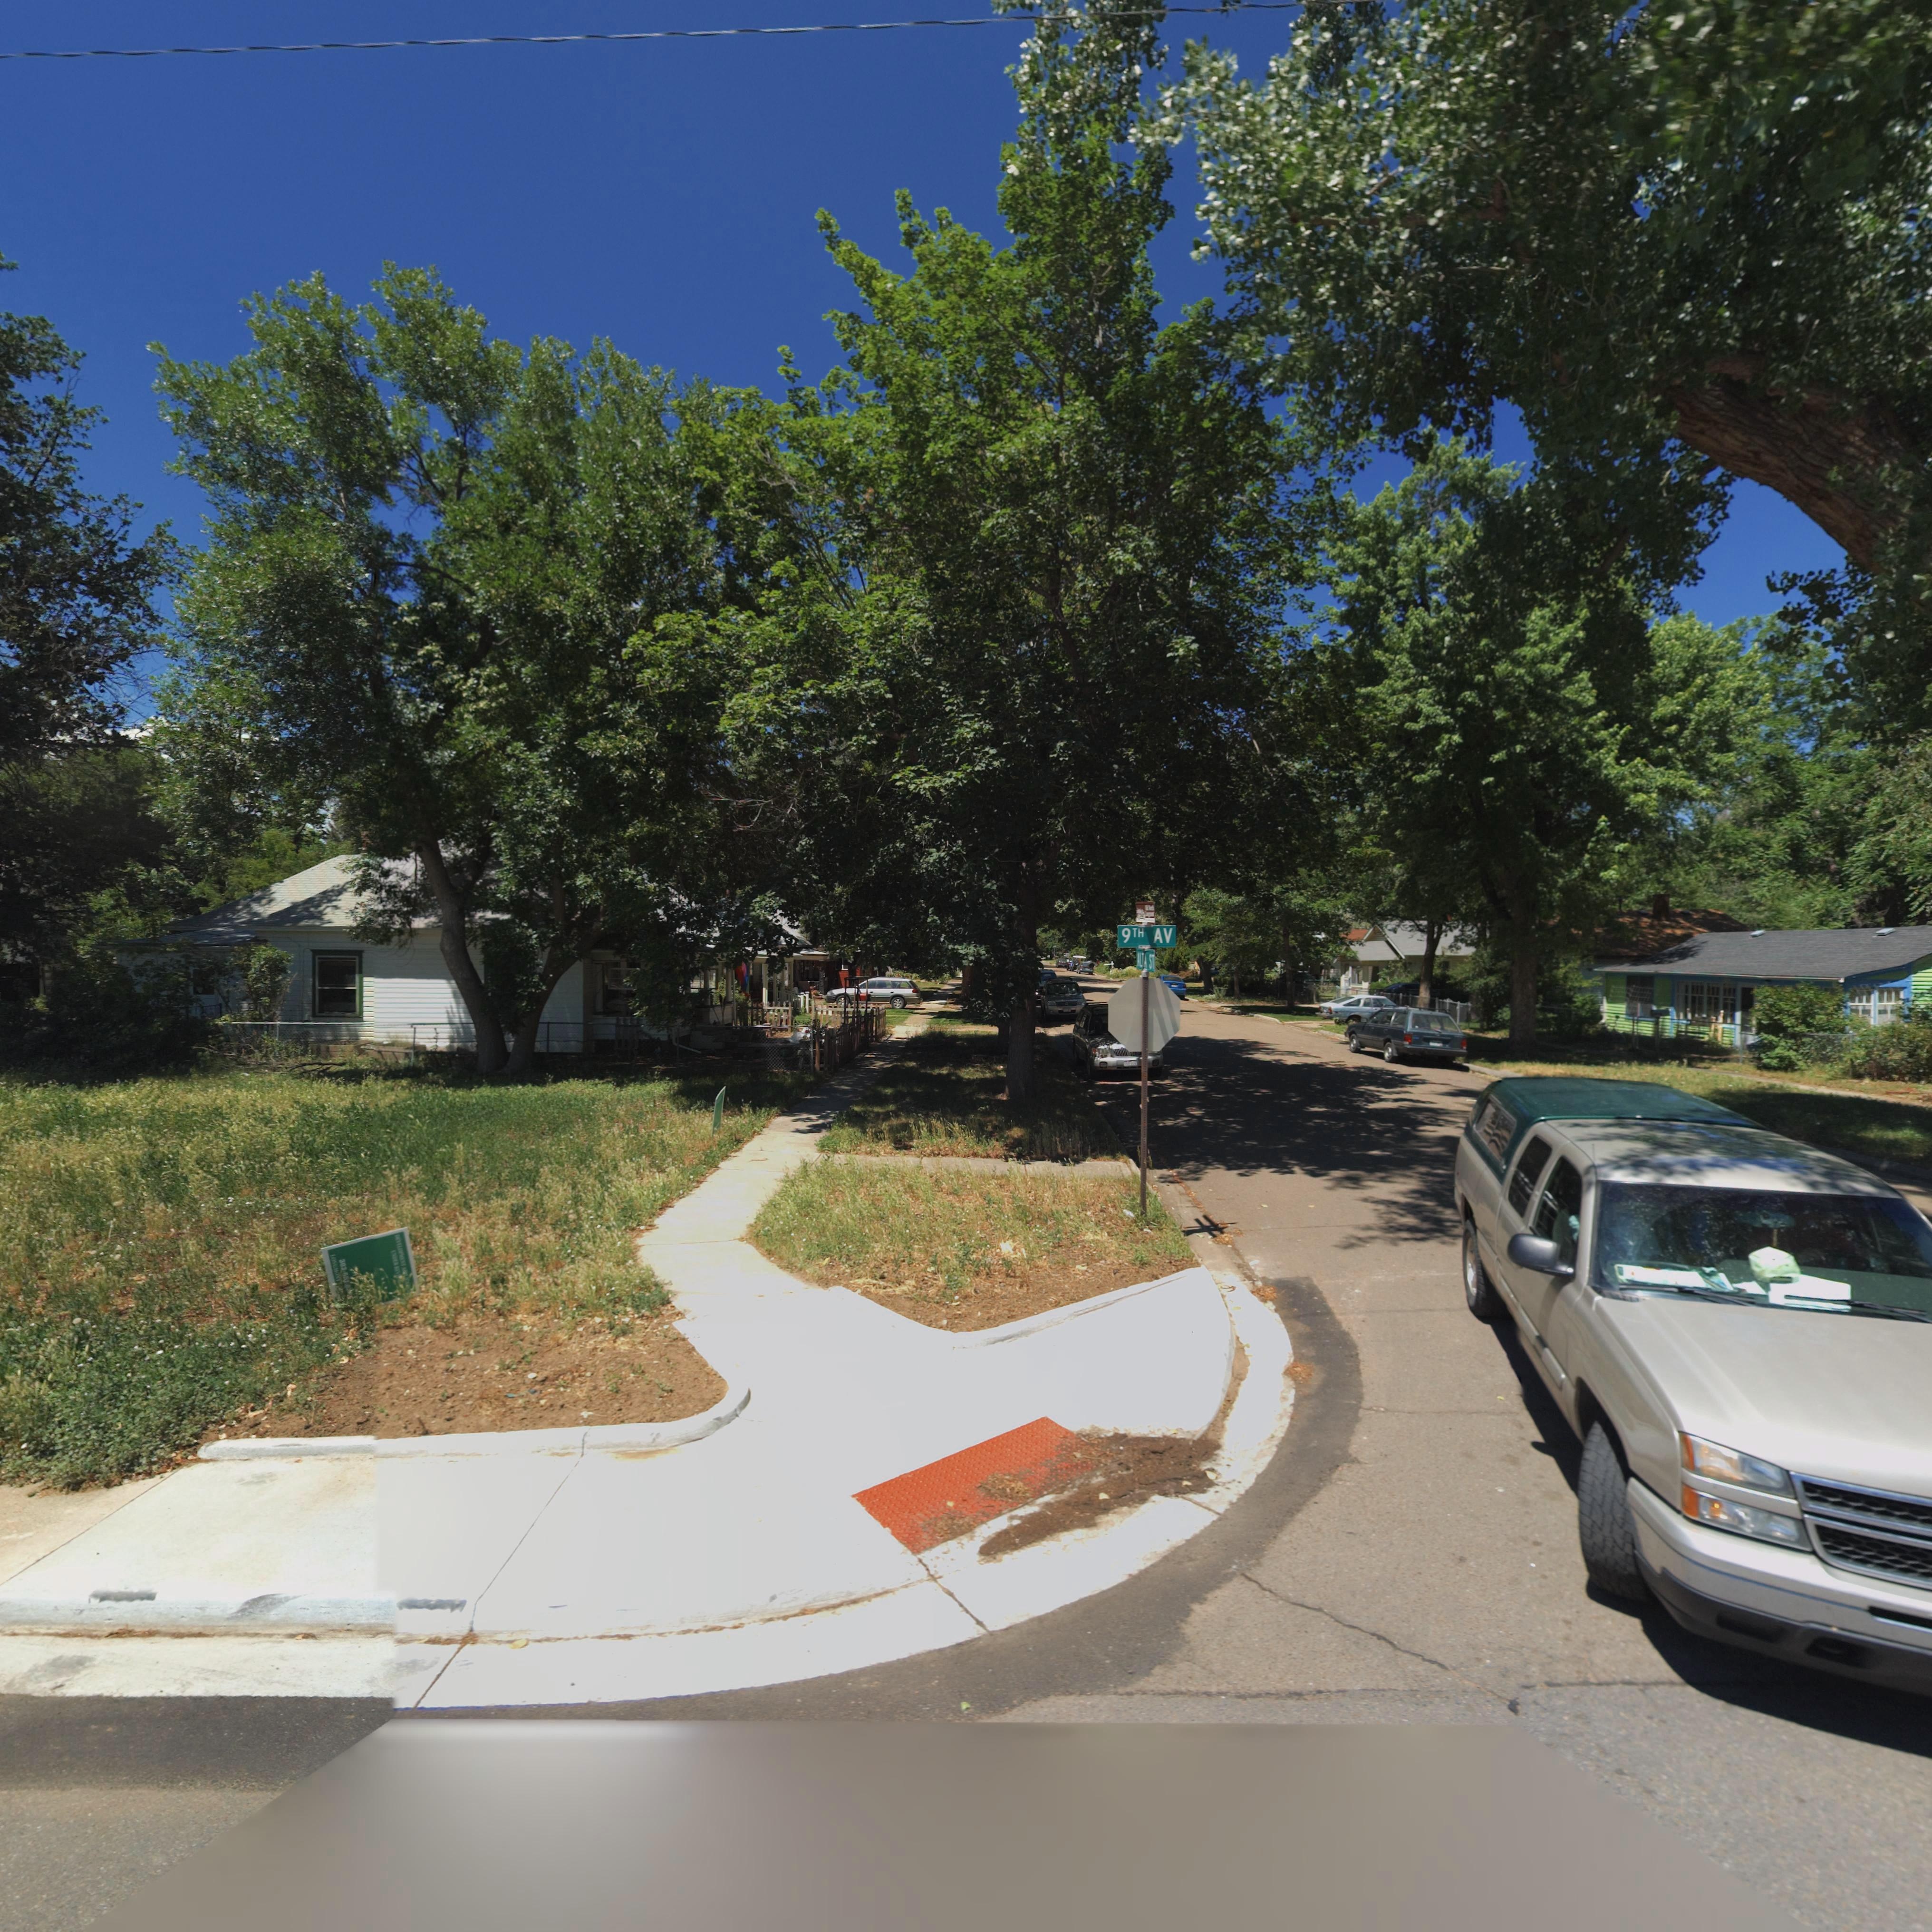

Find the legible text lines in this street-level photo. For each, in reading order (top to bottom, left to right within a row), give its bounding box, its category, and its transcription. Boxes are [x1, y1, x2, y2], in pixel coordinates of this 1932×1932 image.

[1121, 927, 1173, 943] StreetName: 9TH AV
[1136, 952, 1155, 970] StreetName: ALTA ST